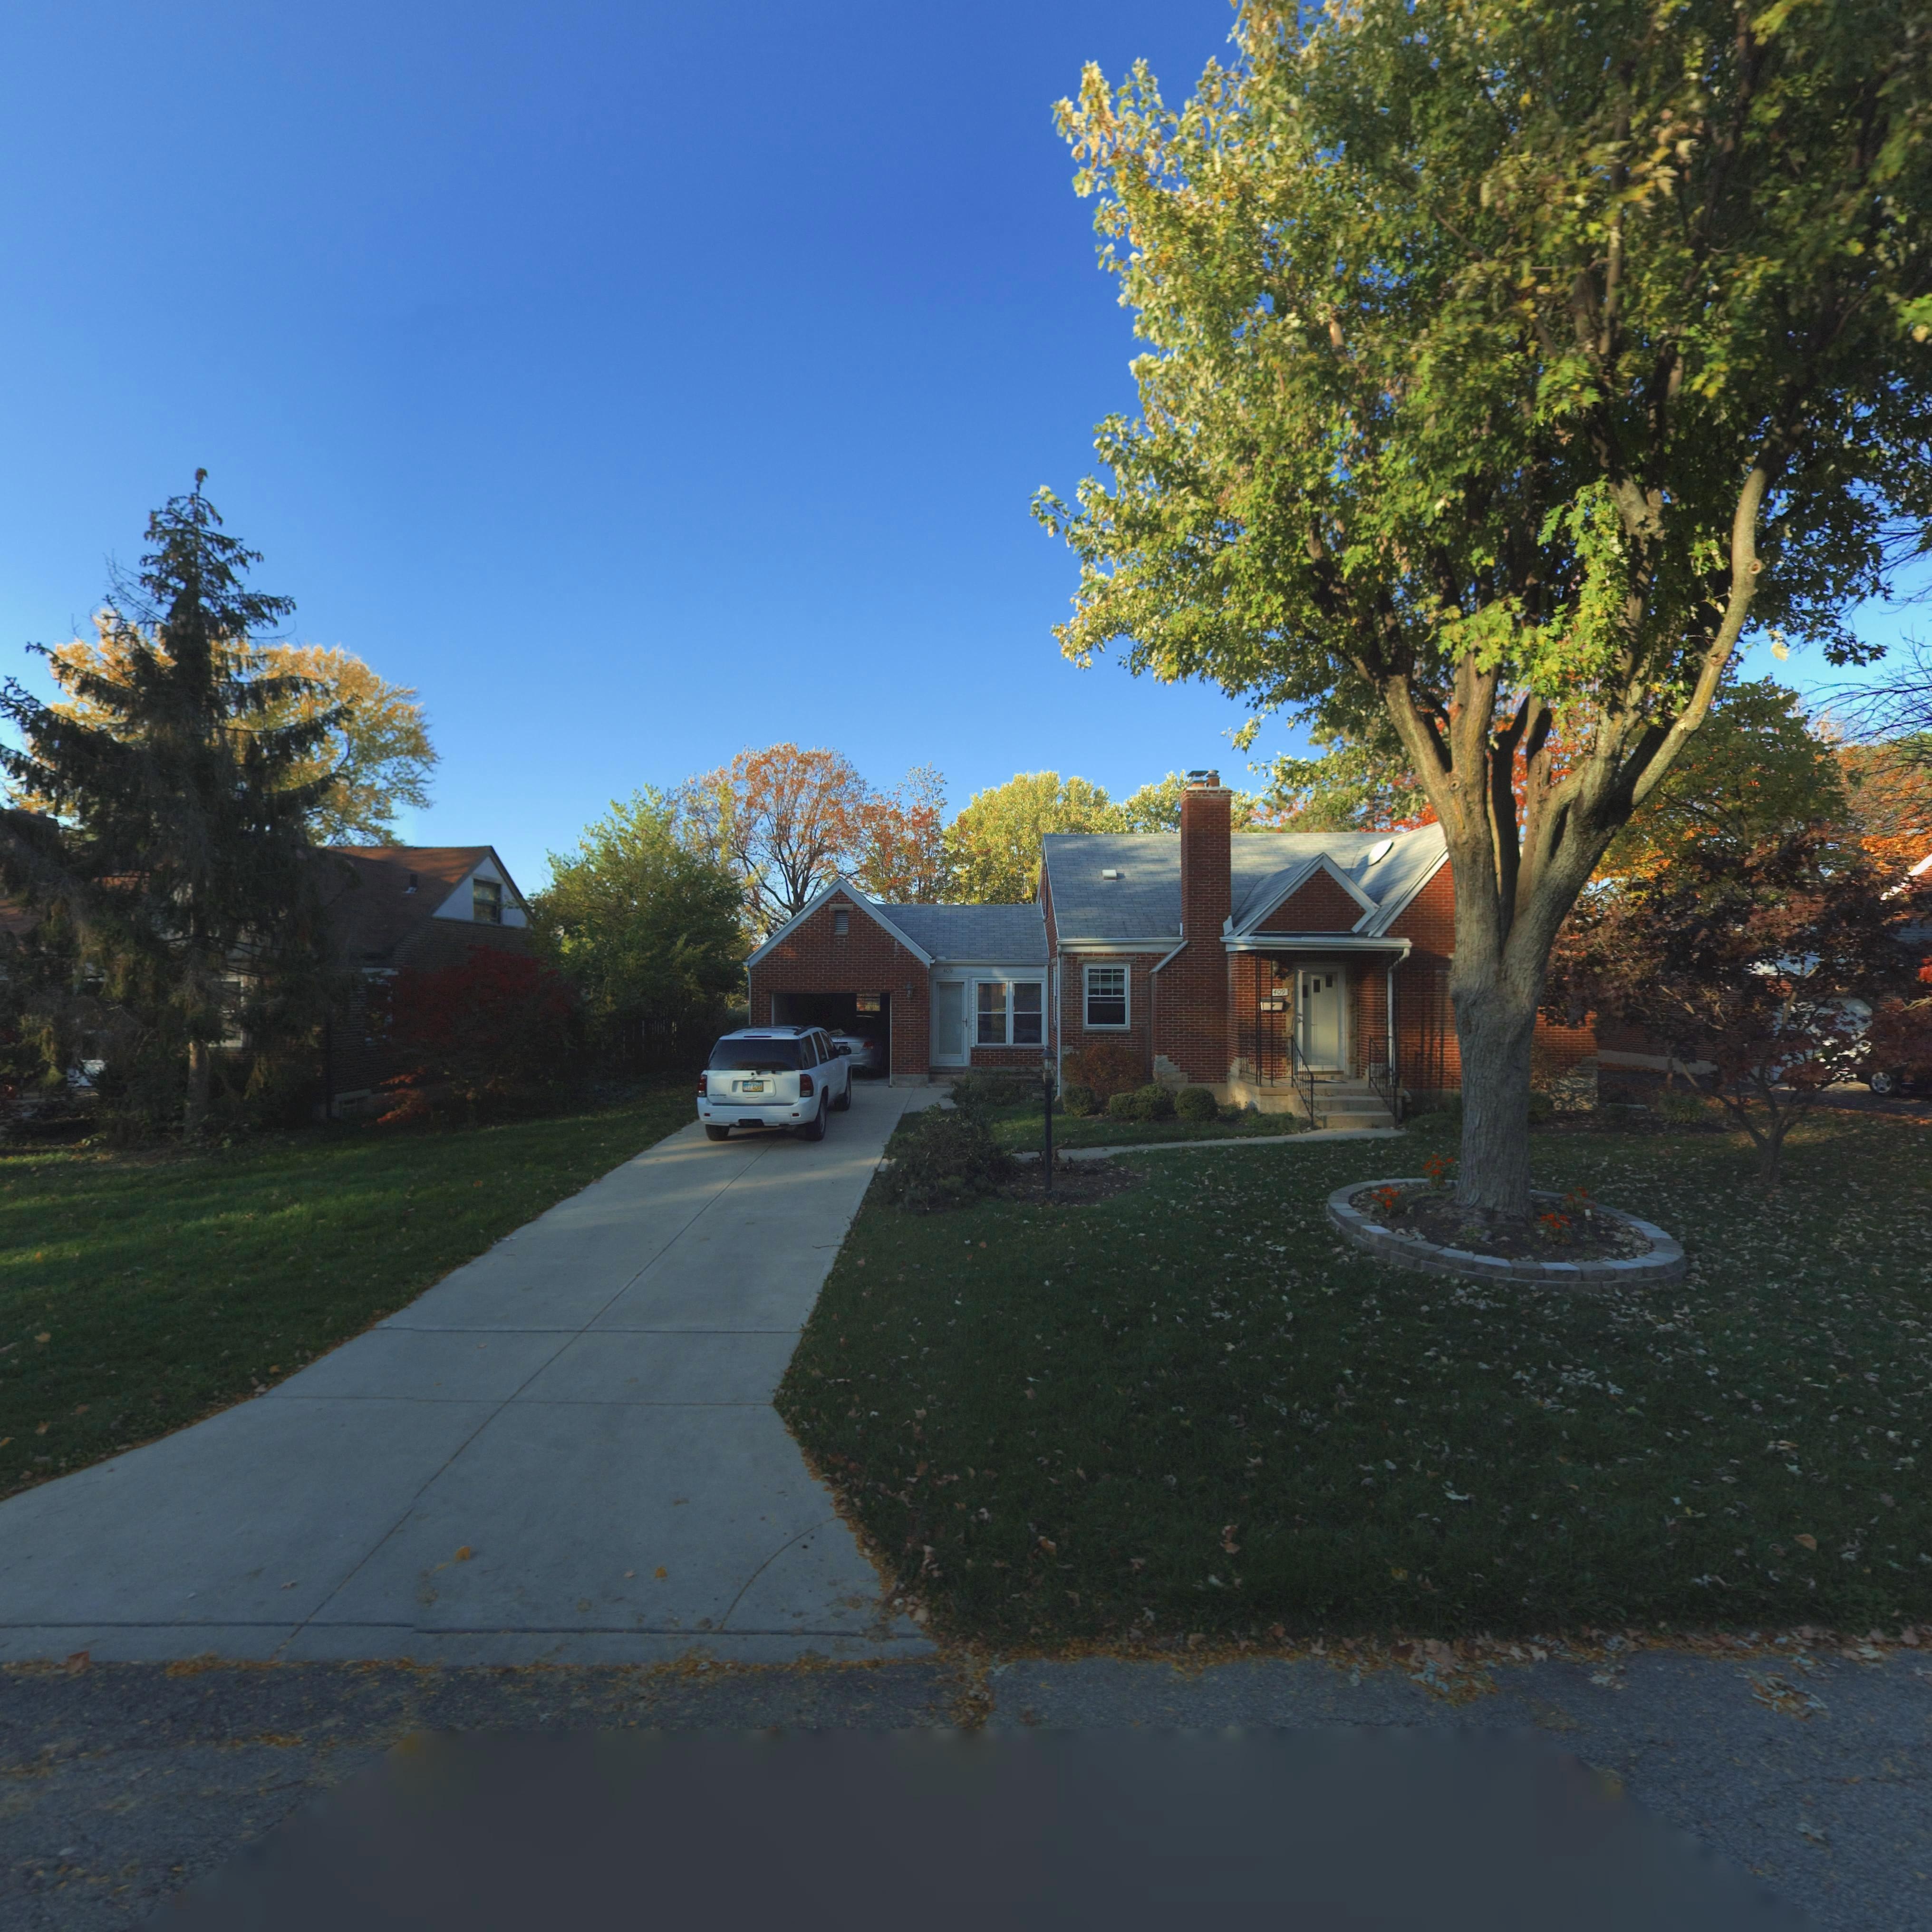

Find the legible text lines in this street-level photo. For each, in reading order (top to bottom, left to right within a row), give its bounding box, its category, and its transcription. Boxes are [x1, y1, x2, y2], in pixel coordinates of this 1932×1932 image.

[943, 967, 953, 974] StreetNumber: 409
[1272, 988, 1286, 995] StreetNumber: 409